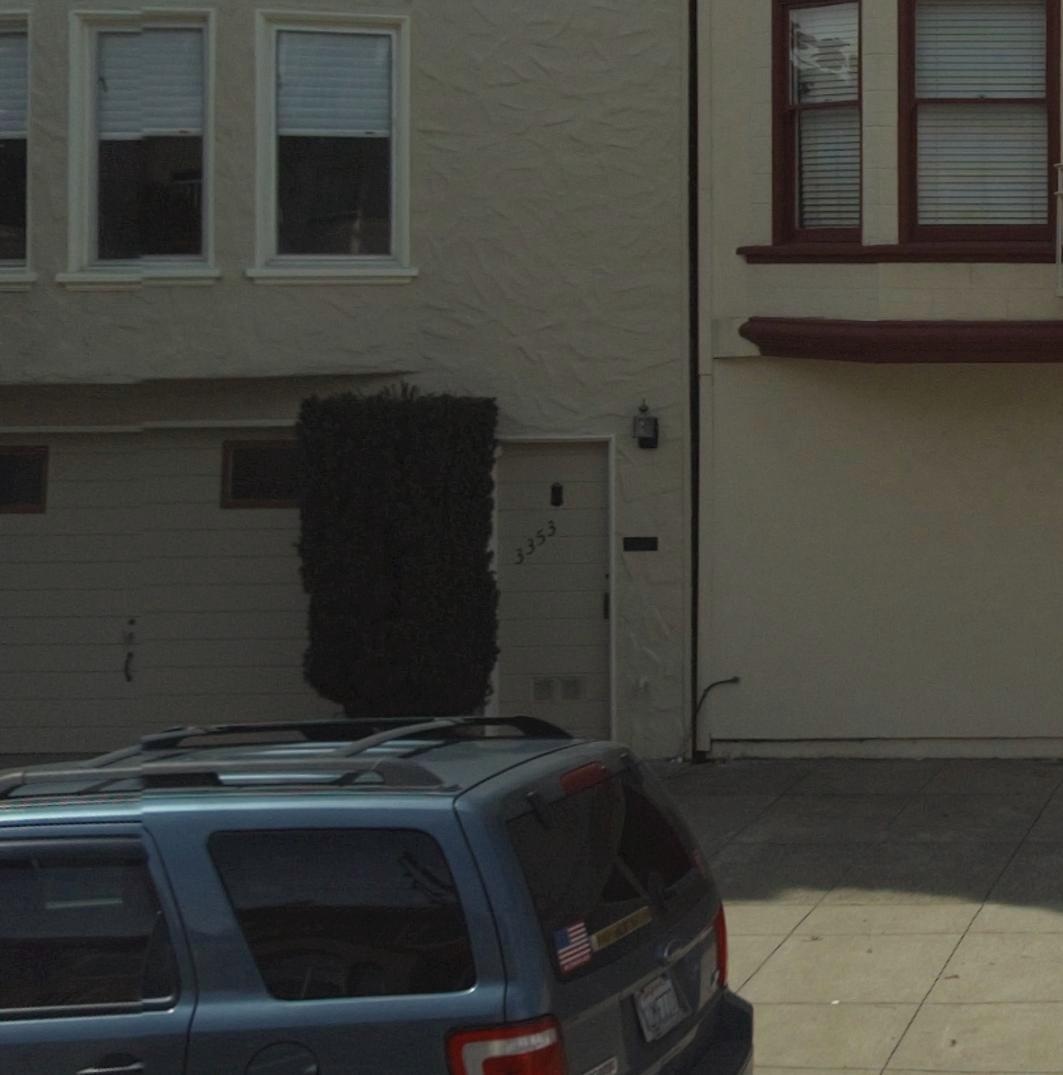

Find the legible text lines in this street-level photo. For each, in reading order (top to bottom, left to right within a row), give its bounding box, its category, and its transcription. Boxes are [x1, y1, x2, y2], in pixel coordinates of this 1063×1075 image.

[511, 515, 559, 570] StreetNumber: 3353